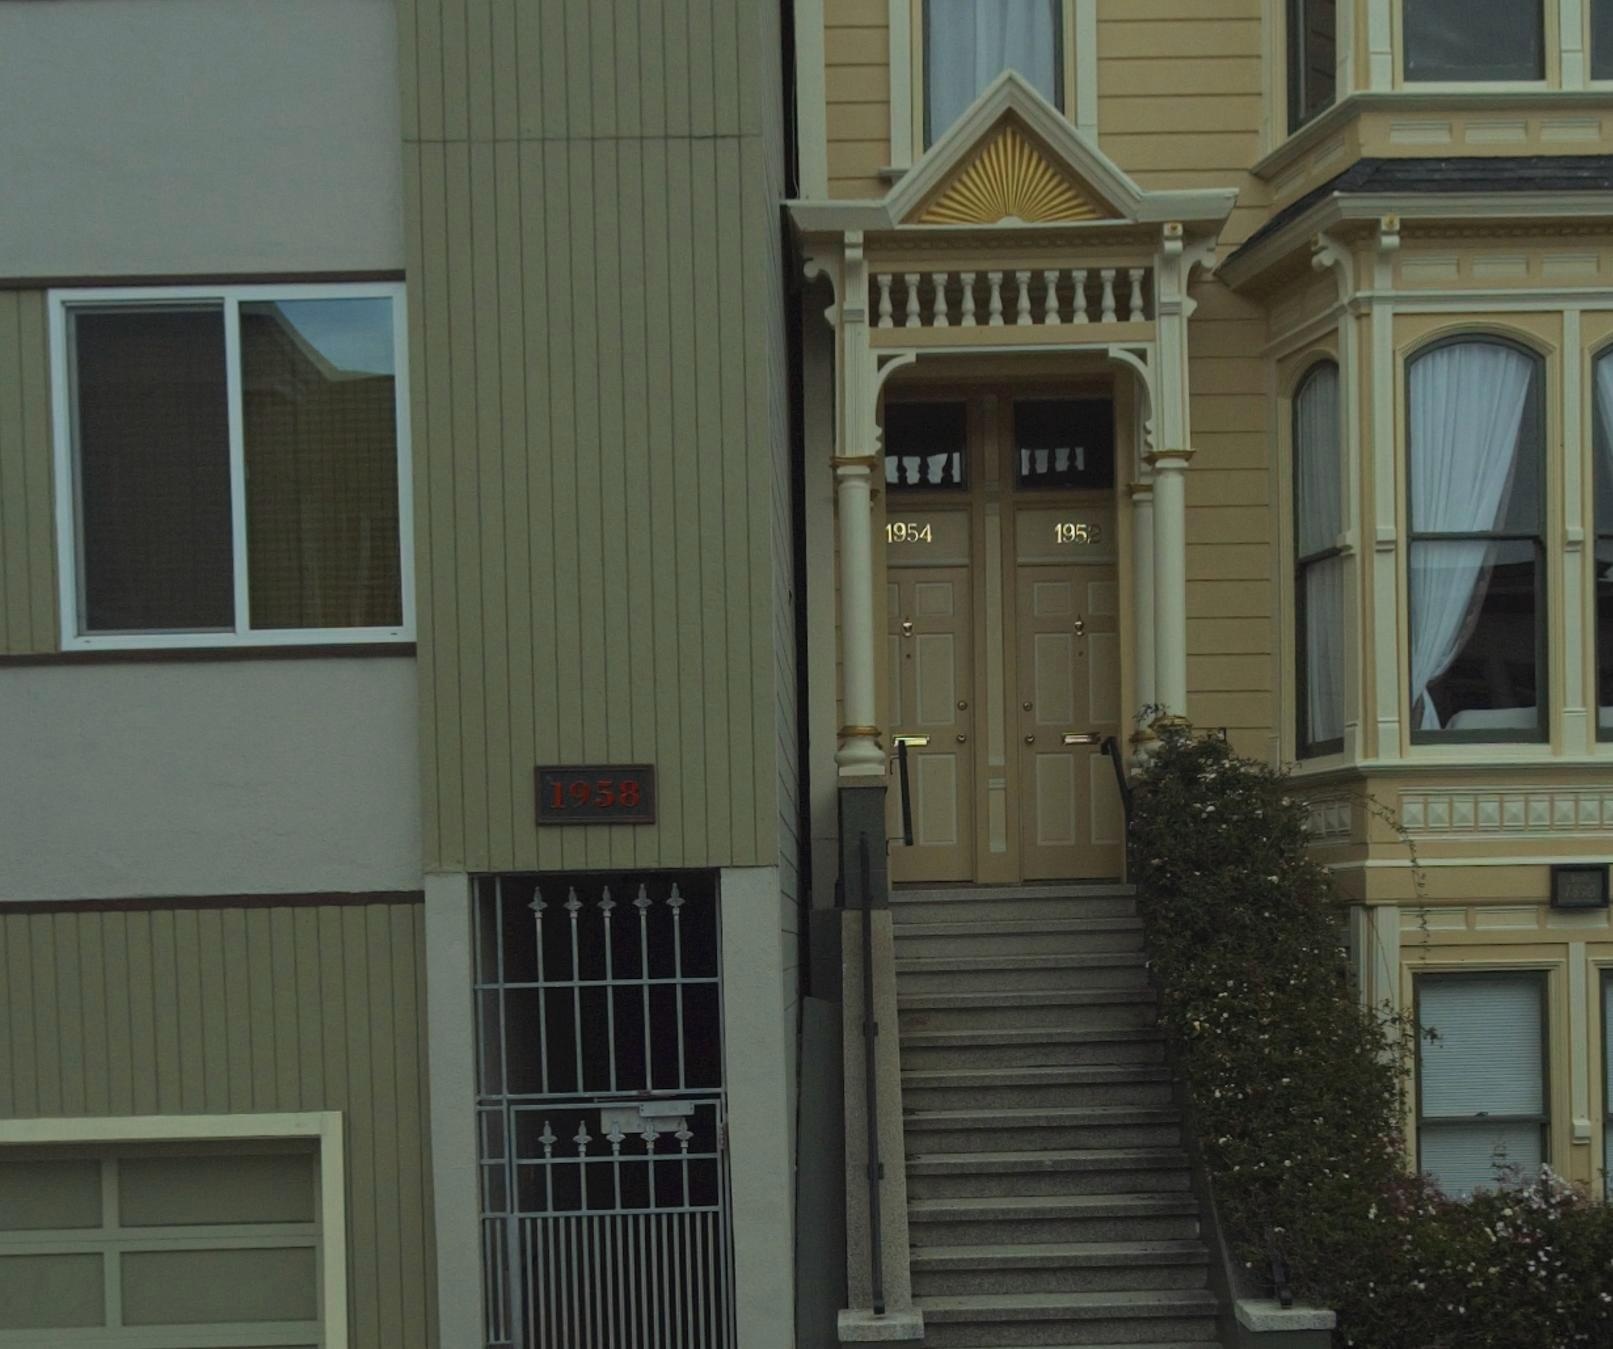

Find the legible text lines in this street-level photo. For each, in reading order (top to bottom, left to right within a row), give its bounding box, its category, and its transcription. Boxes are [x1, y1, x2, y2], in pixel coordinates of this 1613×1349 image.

[885, 522, 934, 545] StreetNumber: 1954
[1053, 520, 1102, 547] StreetNumber: 1952
[547, 778, 642, 811] StreetNumber: 1958